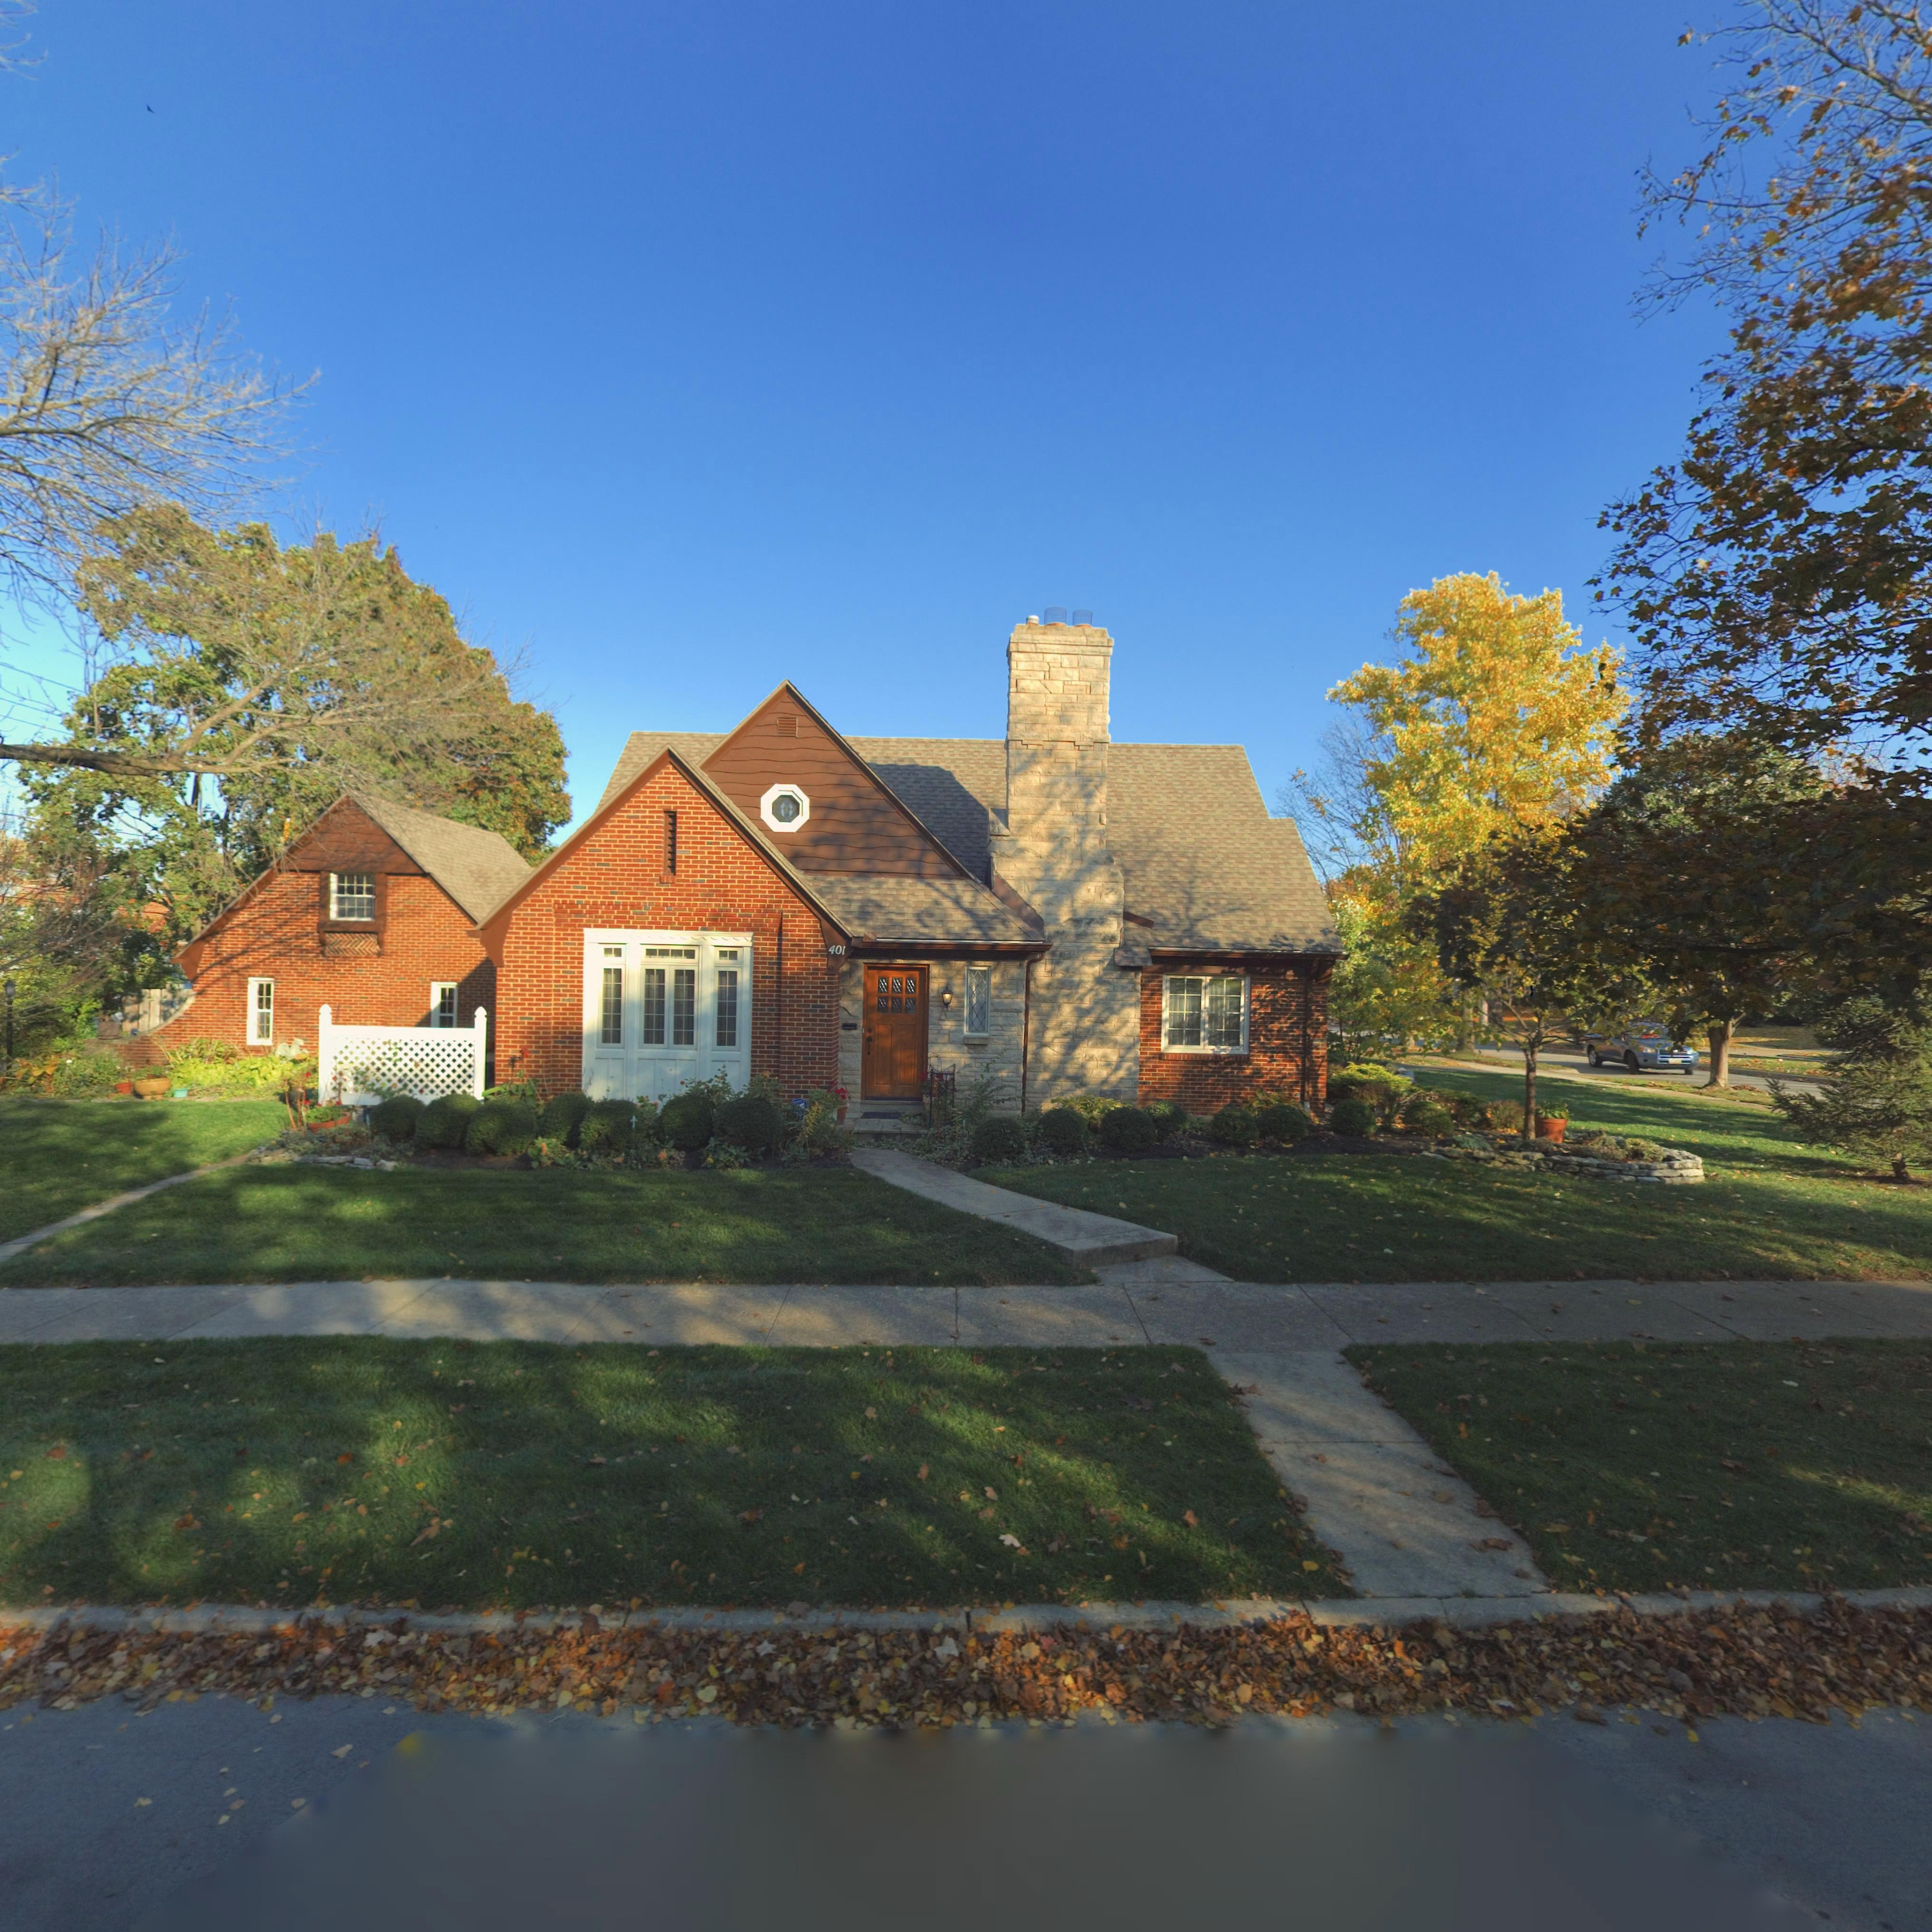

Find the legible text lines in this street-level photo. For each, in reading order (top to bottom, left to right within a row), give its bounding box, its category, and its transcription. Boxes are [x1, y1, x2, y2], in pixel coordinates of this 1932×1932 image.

[827, 944, 847, 956] StreetNumber: 401